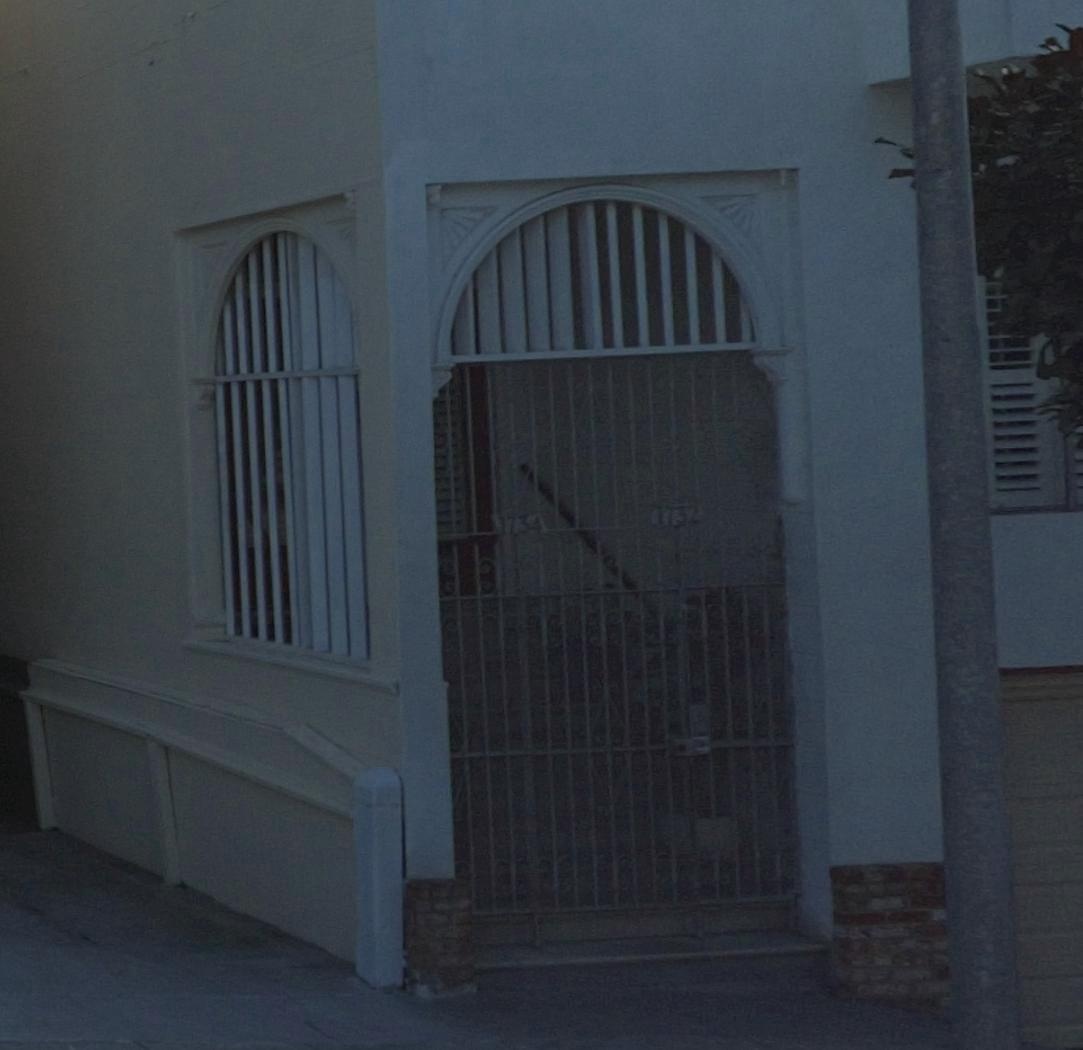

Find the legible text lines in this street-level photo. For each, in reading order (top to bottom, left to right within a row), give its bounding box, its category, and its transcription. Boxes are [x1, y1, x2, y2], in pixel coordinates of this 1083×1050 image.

[495, 510, 546, 538] StreetNumber: 1734
[652, 502, 701, 529] StreetNumber: 1732